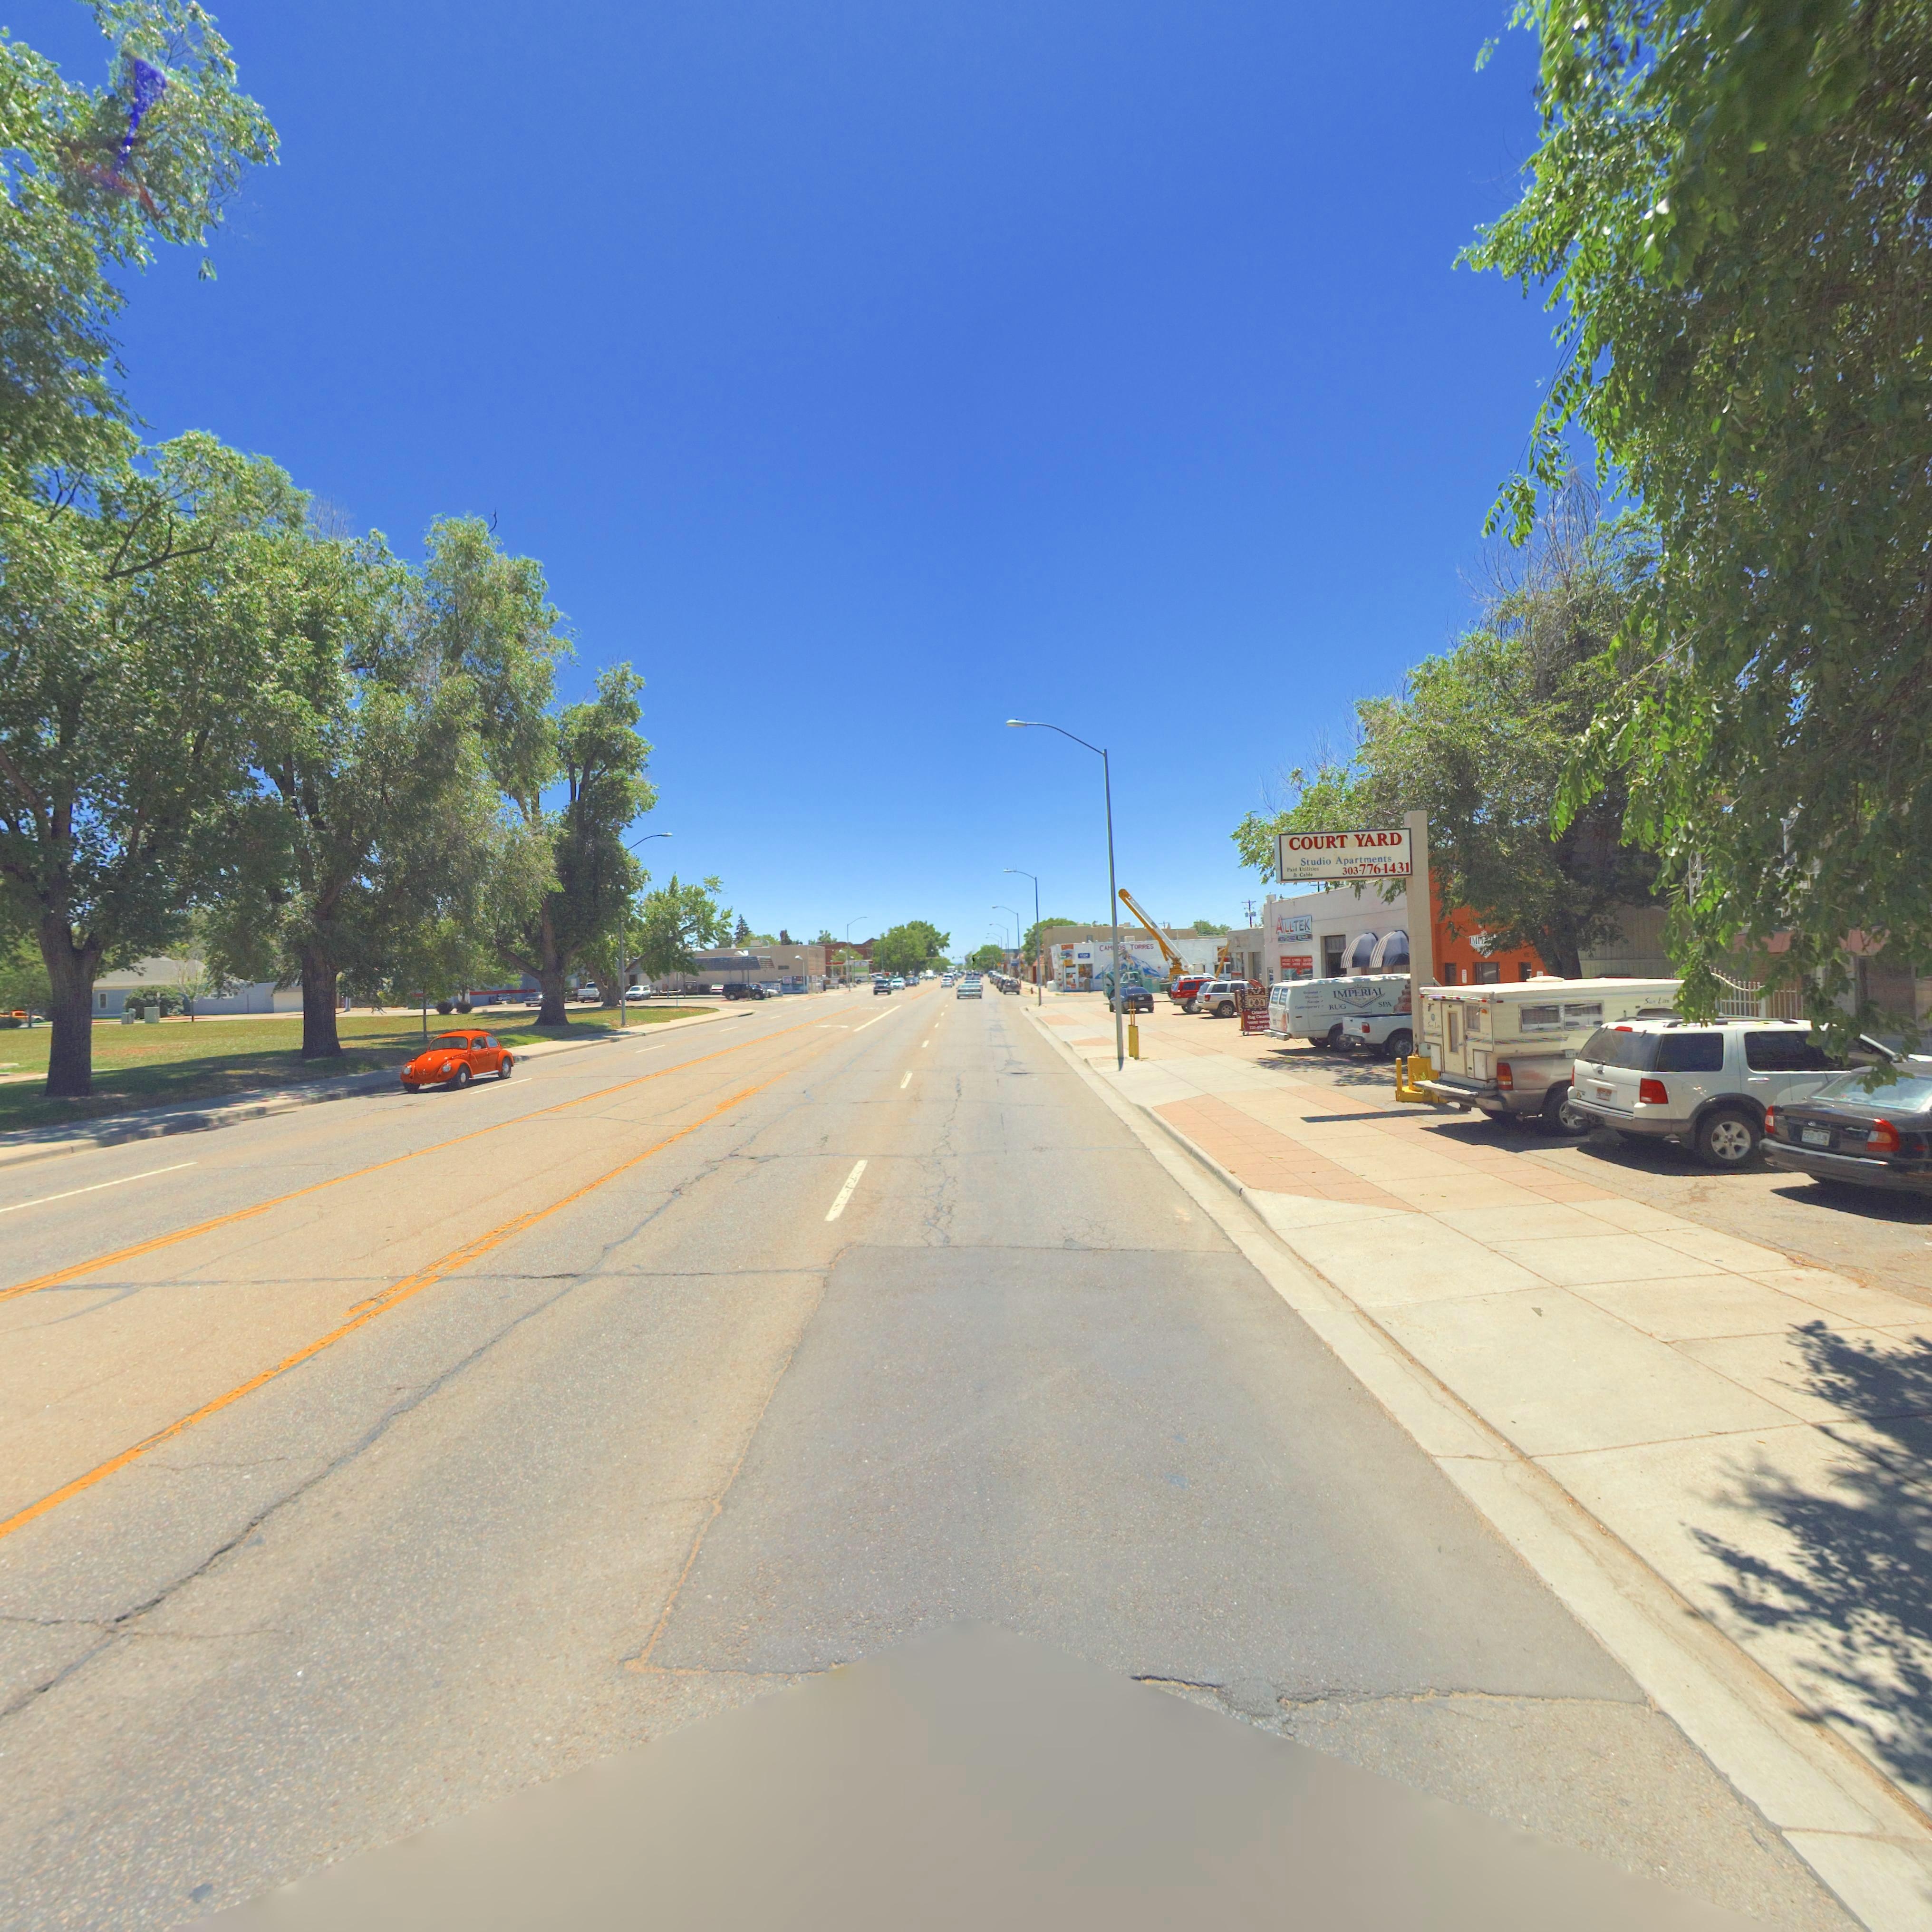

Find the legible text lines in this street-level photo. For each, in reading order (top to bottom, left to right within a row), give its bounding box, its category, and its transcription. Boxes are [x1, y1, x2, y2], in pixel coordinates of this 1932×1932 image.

[1288, 831, 1402, 851] BusinessName: COURT YARD
[1300, 855, 1392, 866] BusinessName: Studio Apartments
[1275, 917, 1311, 934] BusinessName: ALLTEK
[1469, 936, 1487, 944] BusinessName: IMP*